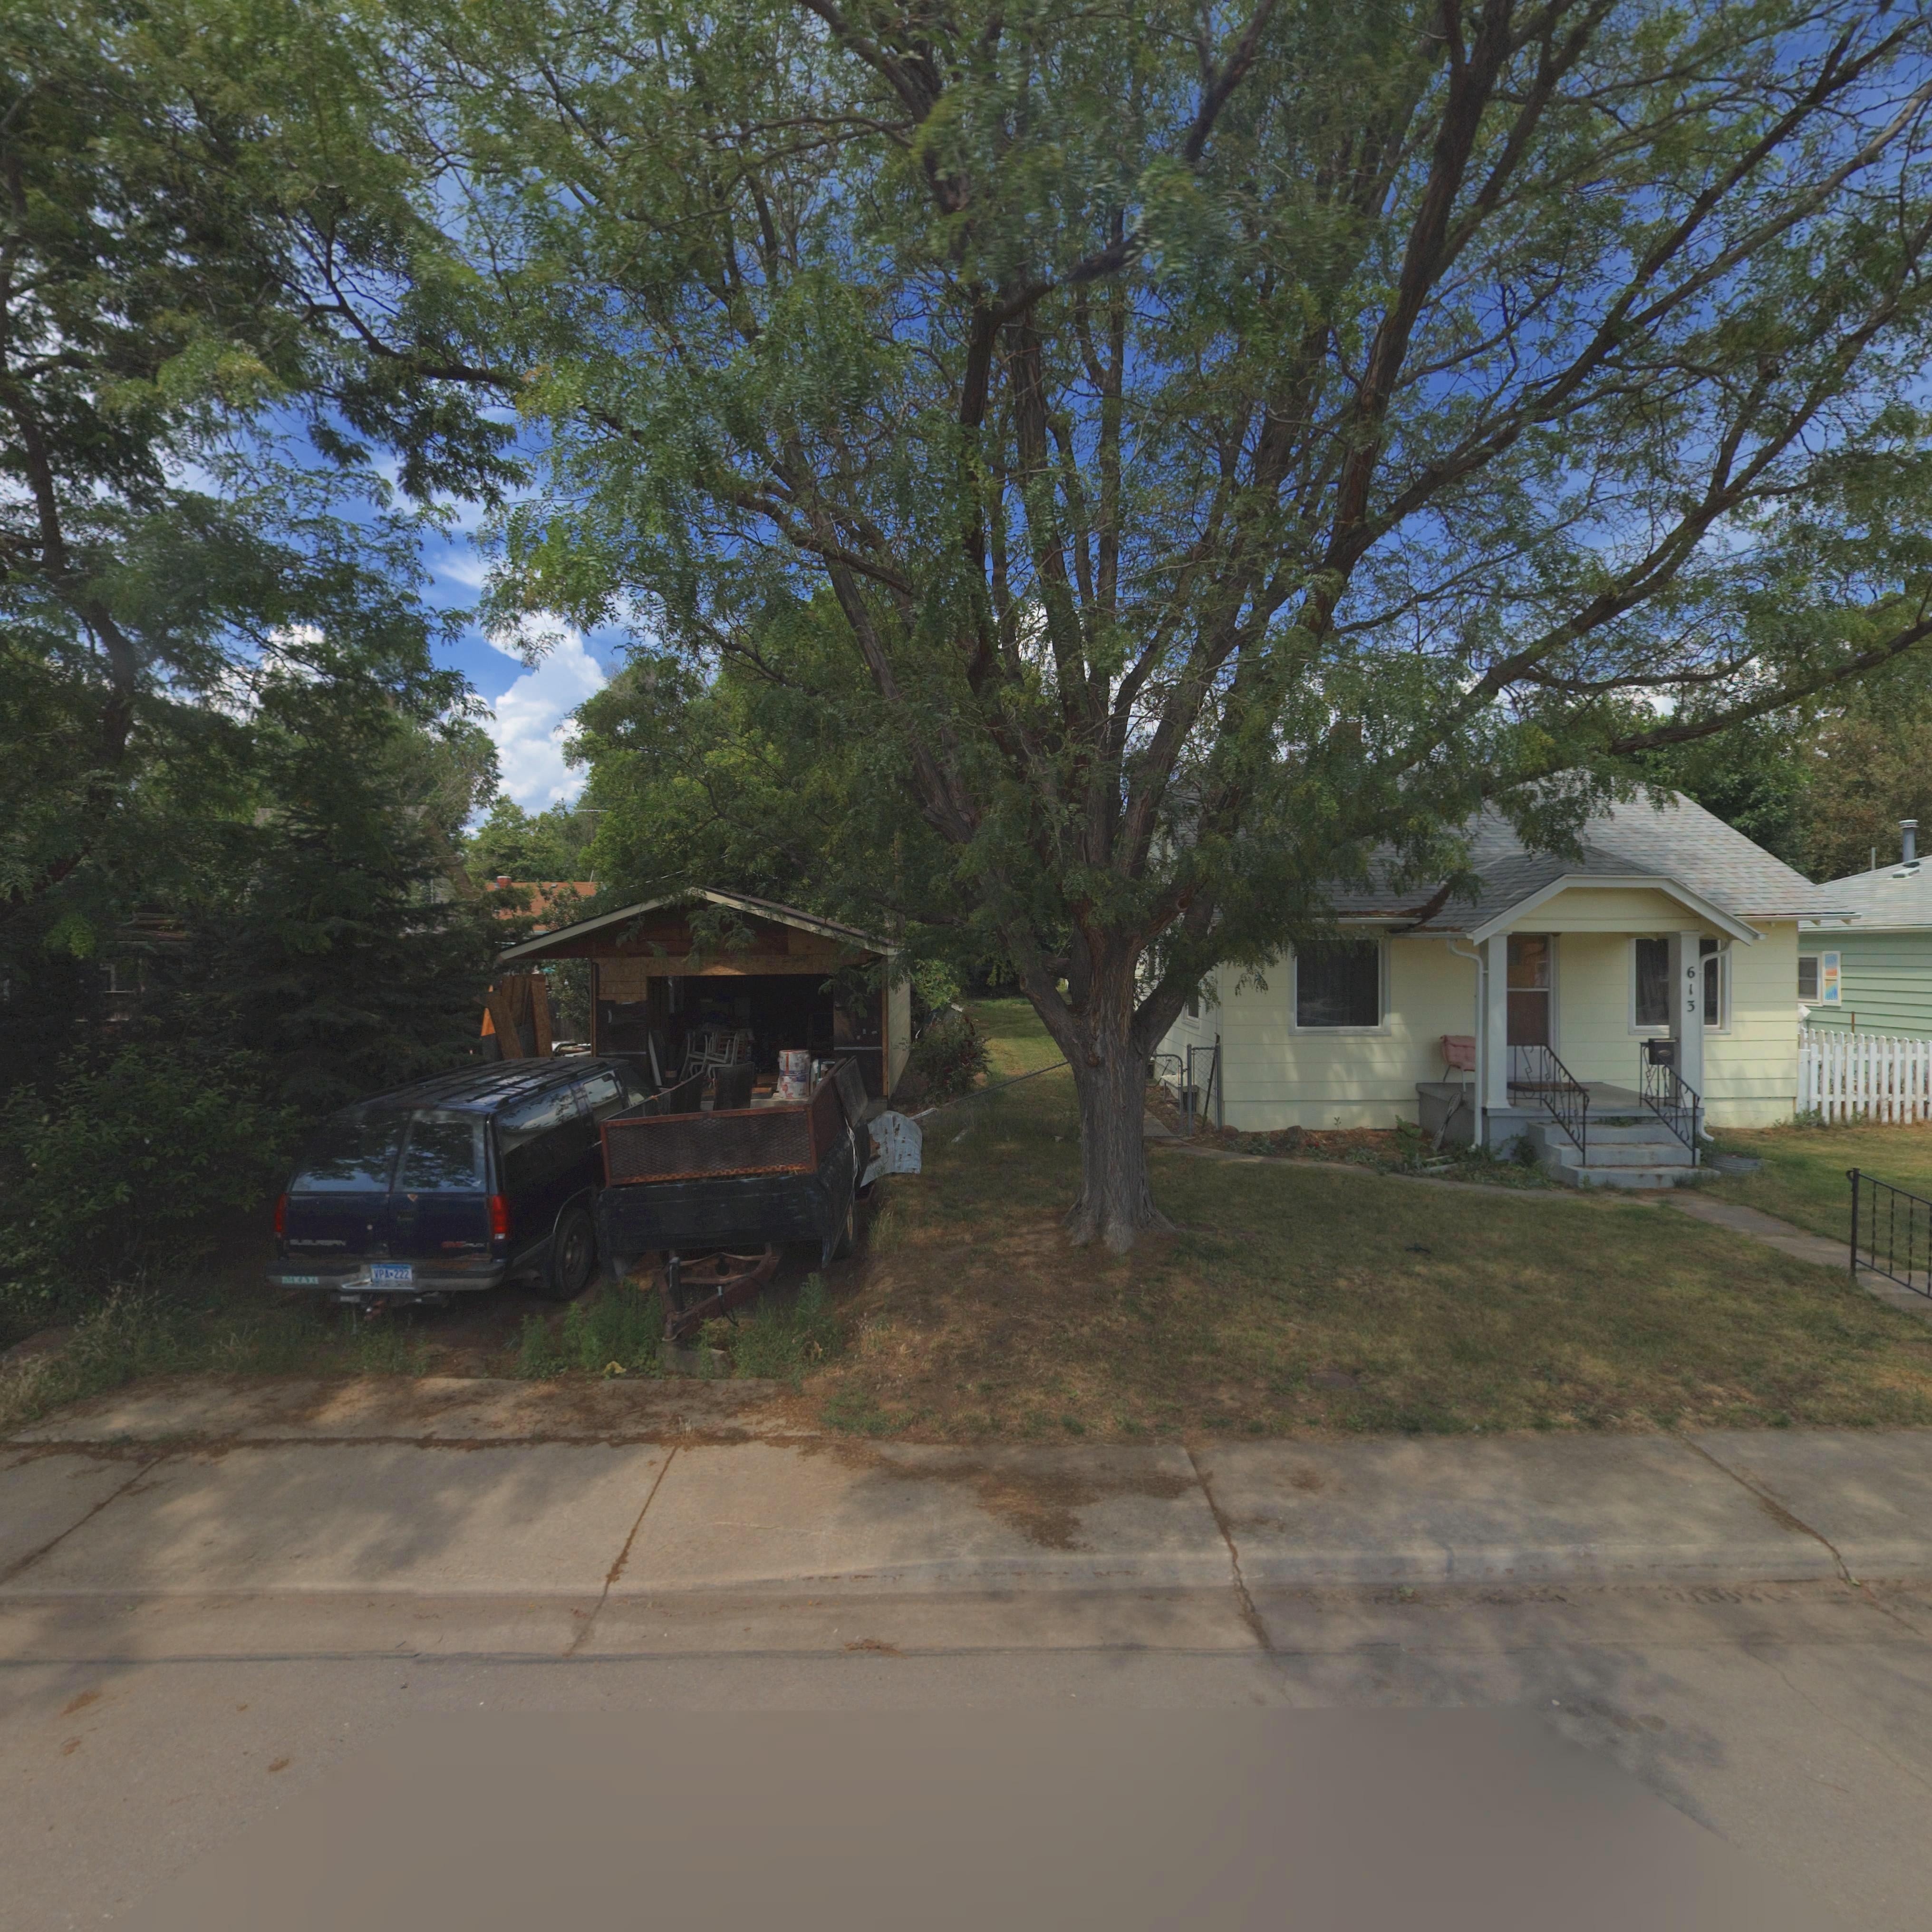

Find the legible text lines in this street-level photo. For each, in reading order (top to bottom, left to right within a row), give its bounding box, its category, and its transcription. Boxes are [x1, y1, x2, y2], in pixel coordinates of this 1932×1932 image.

[1686, 966, 1695, 1013] StreetNumber: 613